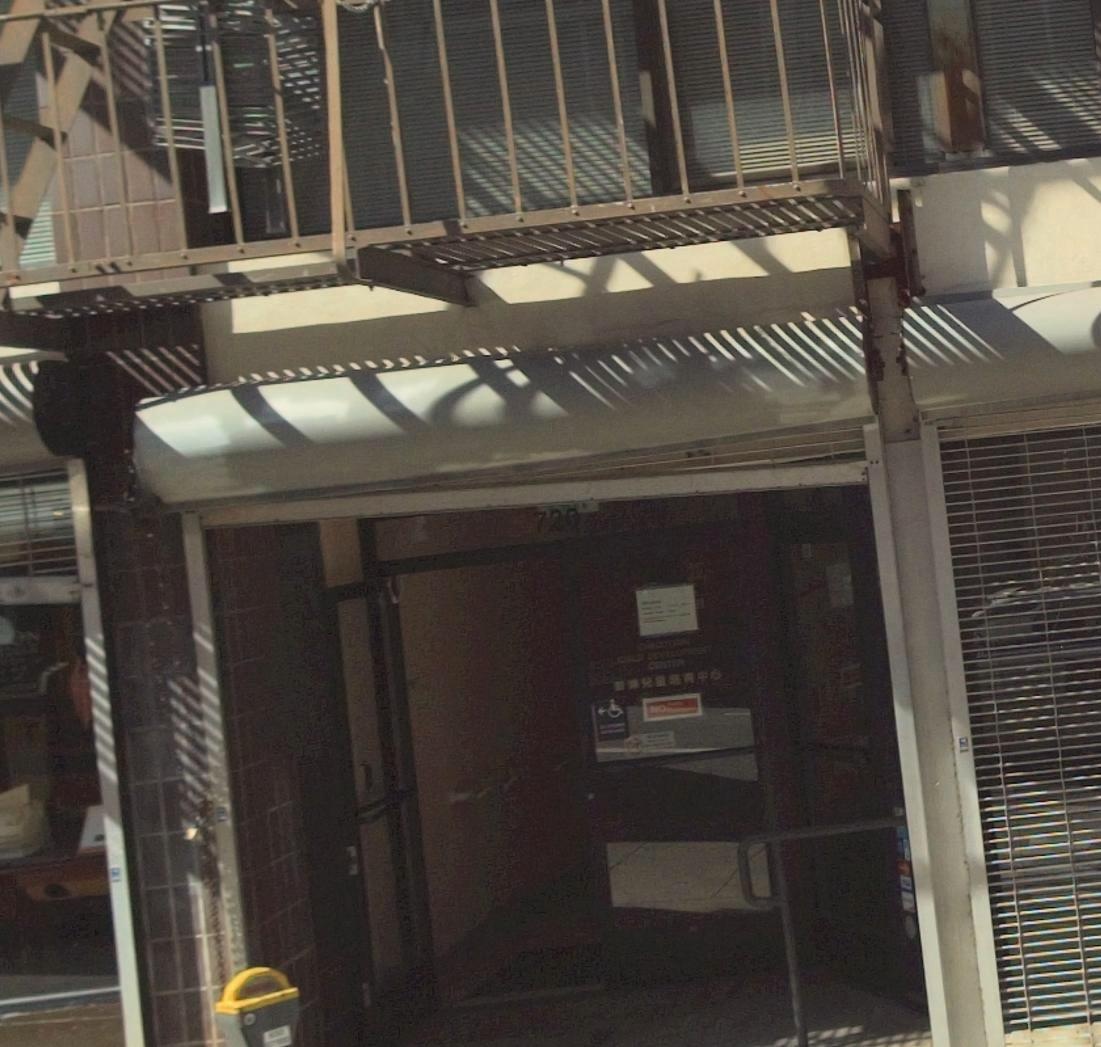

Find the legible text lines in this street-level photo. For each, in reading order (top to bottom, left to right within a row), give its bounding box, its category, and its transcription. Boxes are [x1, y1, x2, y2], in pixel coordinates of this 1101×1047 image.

[529, 503, 584, 536] StreetNumber: 720
[647, 701, 669, 718] None: NO